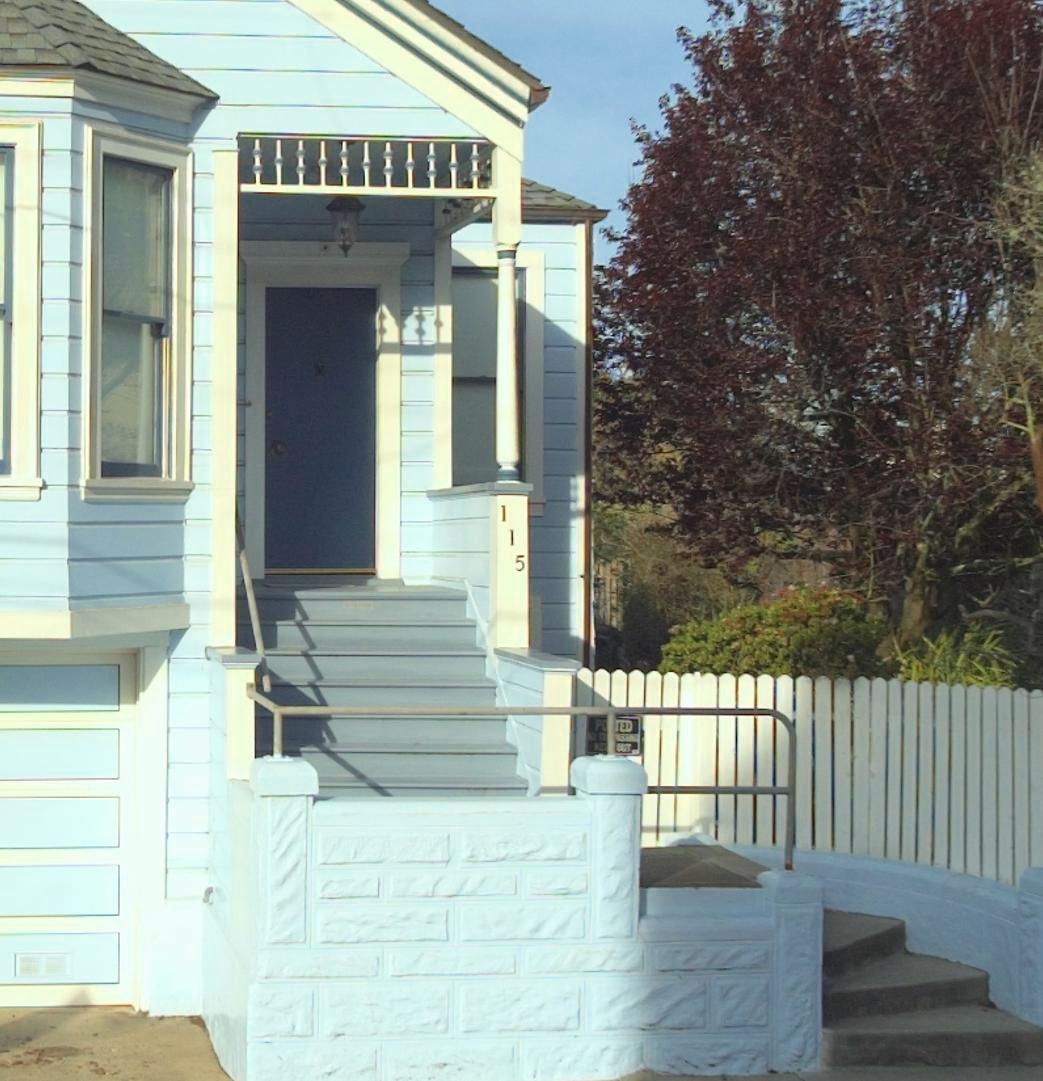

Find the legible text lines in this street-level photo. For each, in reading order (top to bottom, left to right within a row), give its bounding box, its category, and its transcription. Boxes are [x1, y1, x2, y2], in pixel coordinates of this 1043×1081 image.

[498, 501, 528, 575] StreetNumber: 115
[593, 717, 636, 734] StreetNumber: P***ED